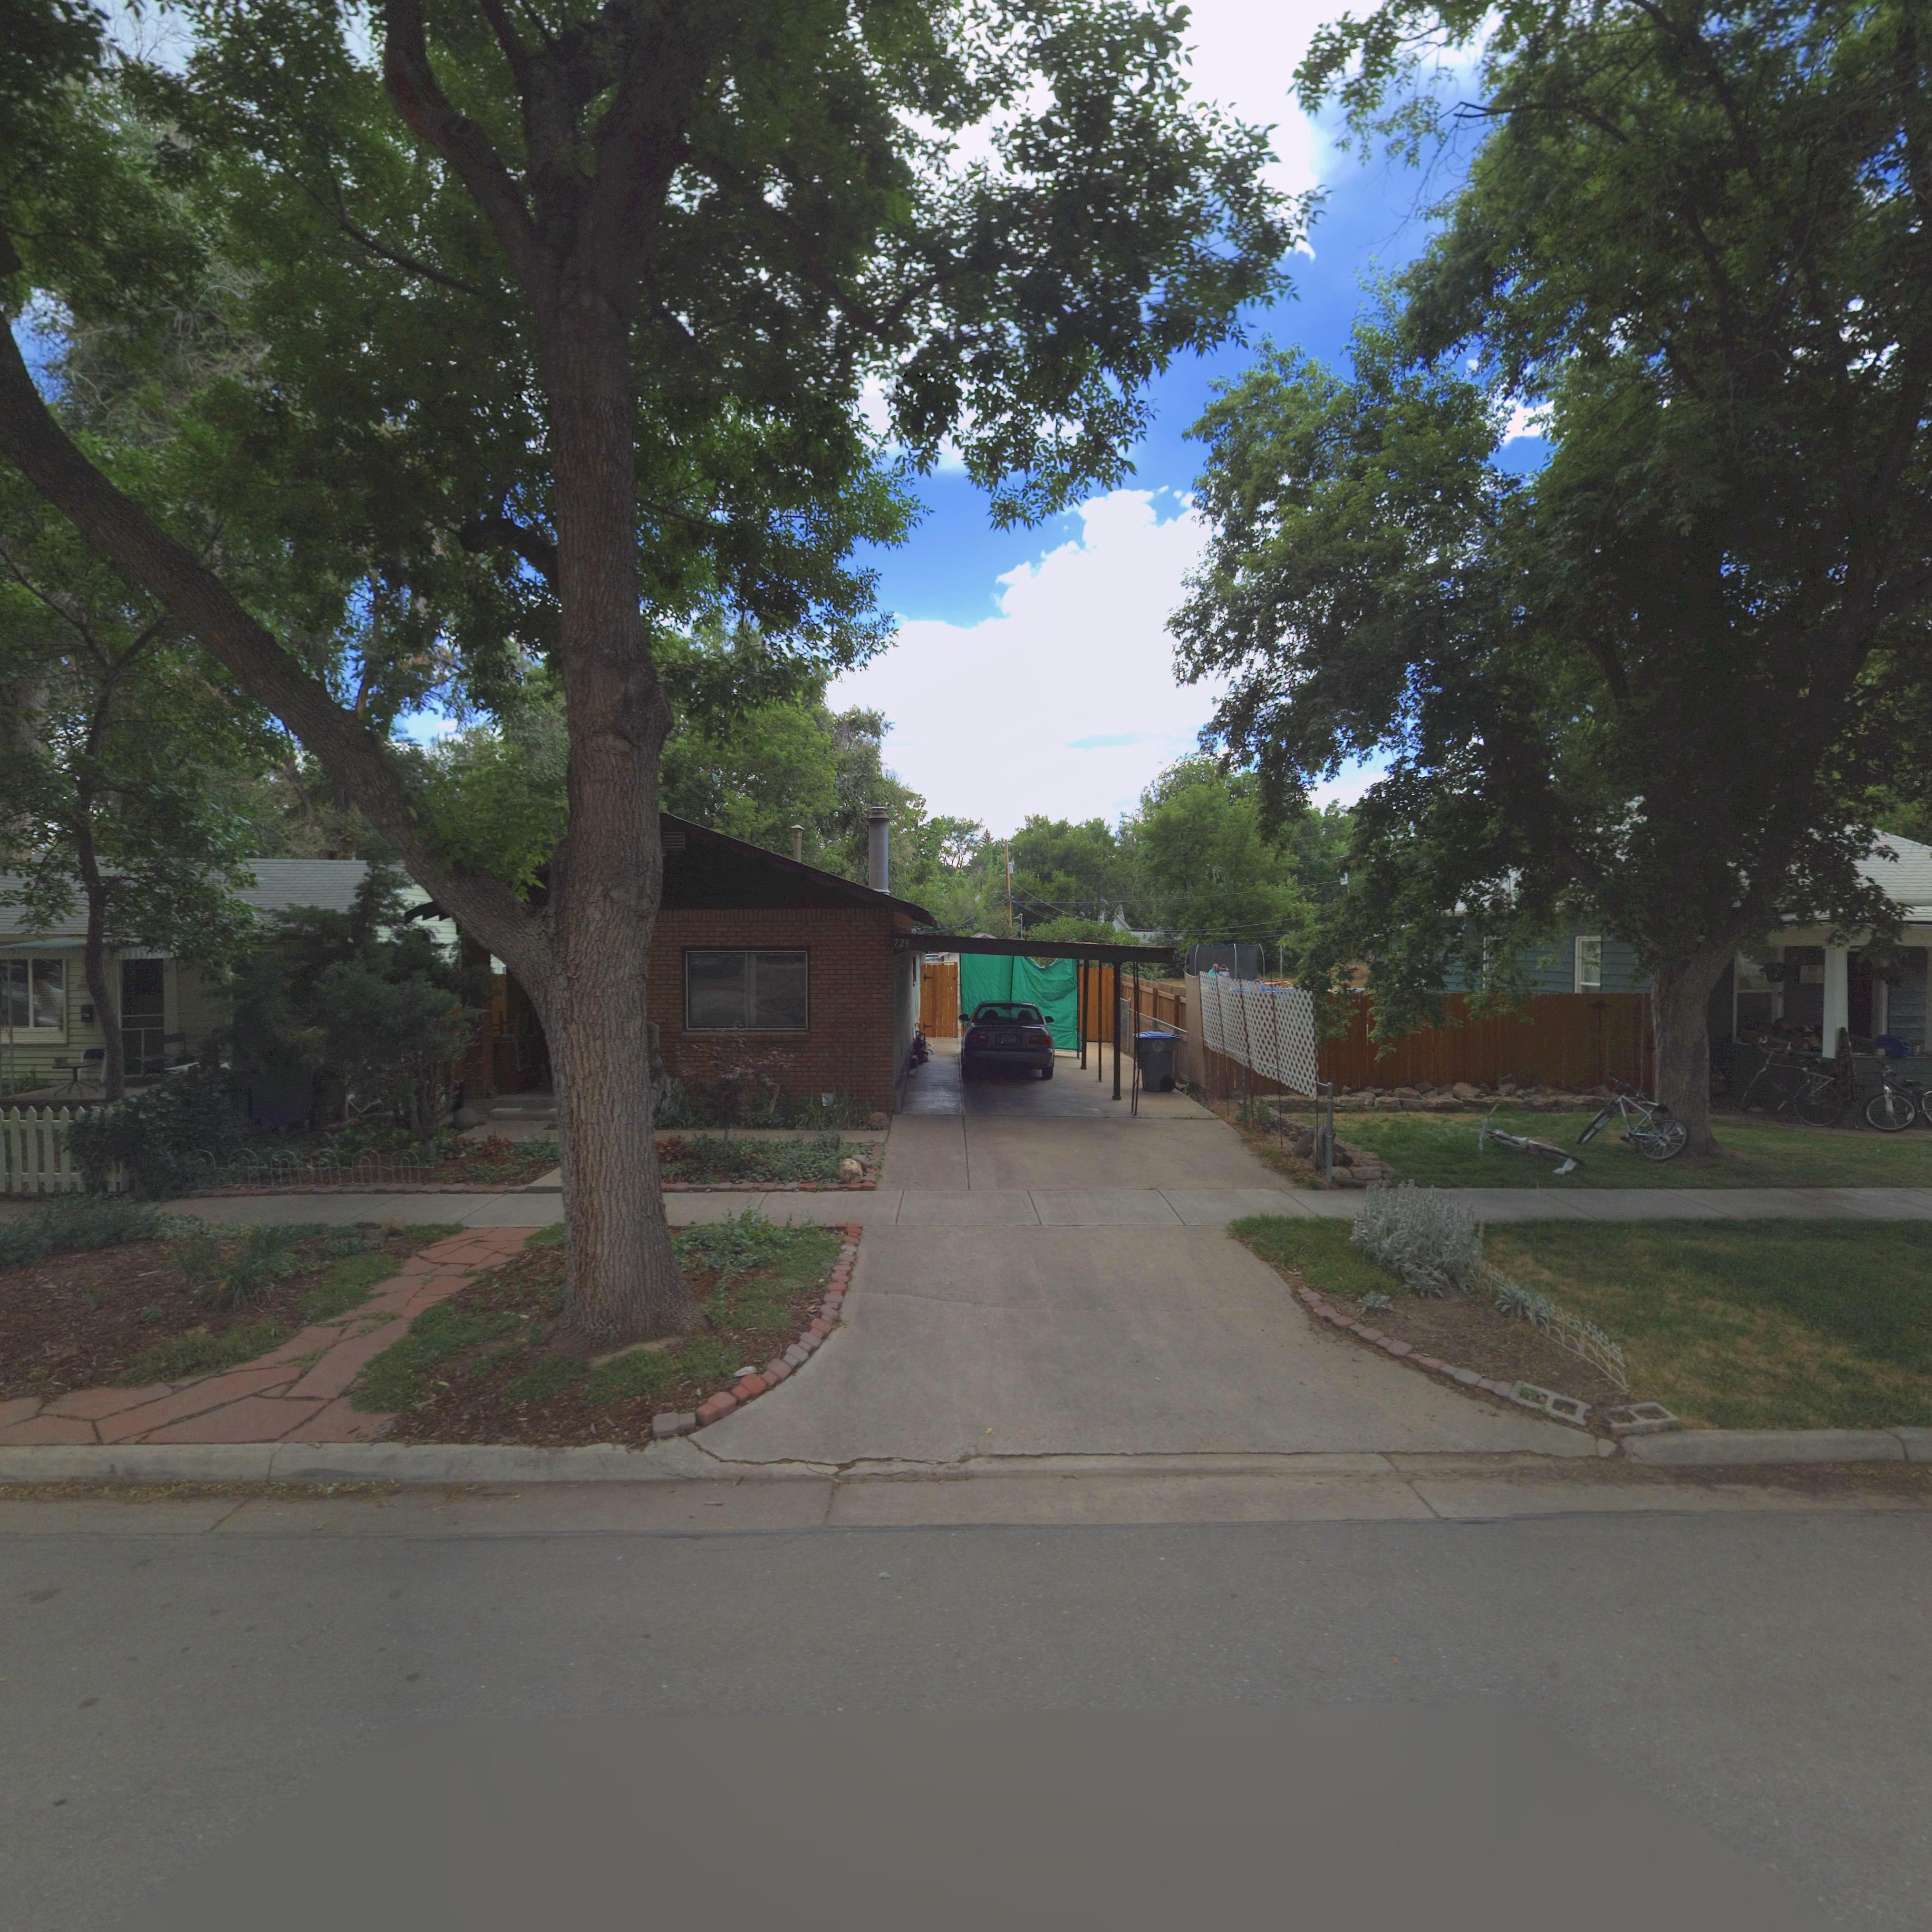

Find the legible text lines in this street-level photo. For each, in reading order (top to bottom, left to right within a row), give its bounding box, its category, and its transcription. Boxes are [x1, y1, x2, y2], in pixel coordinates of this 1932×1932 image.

[893, 938, 909, 947] StreetNumber: 729